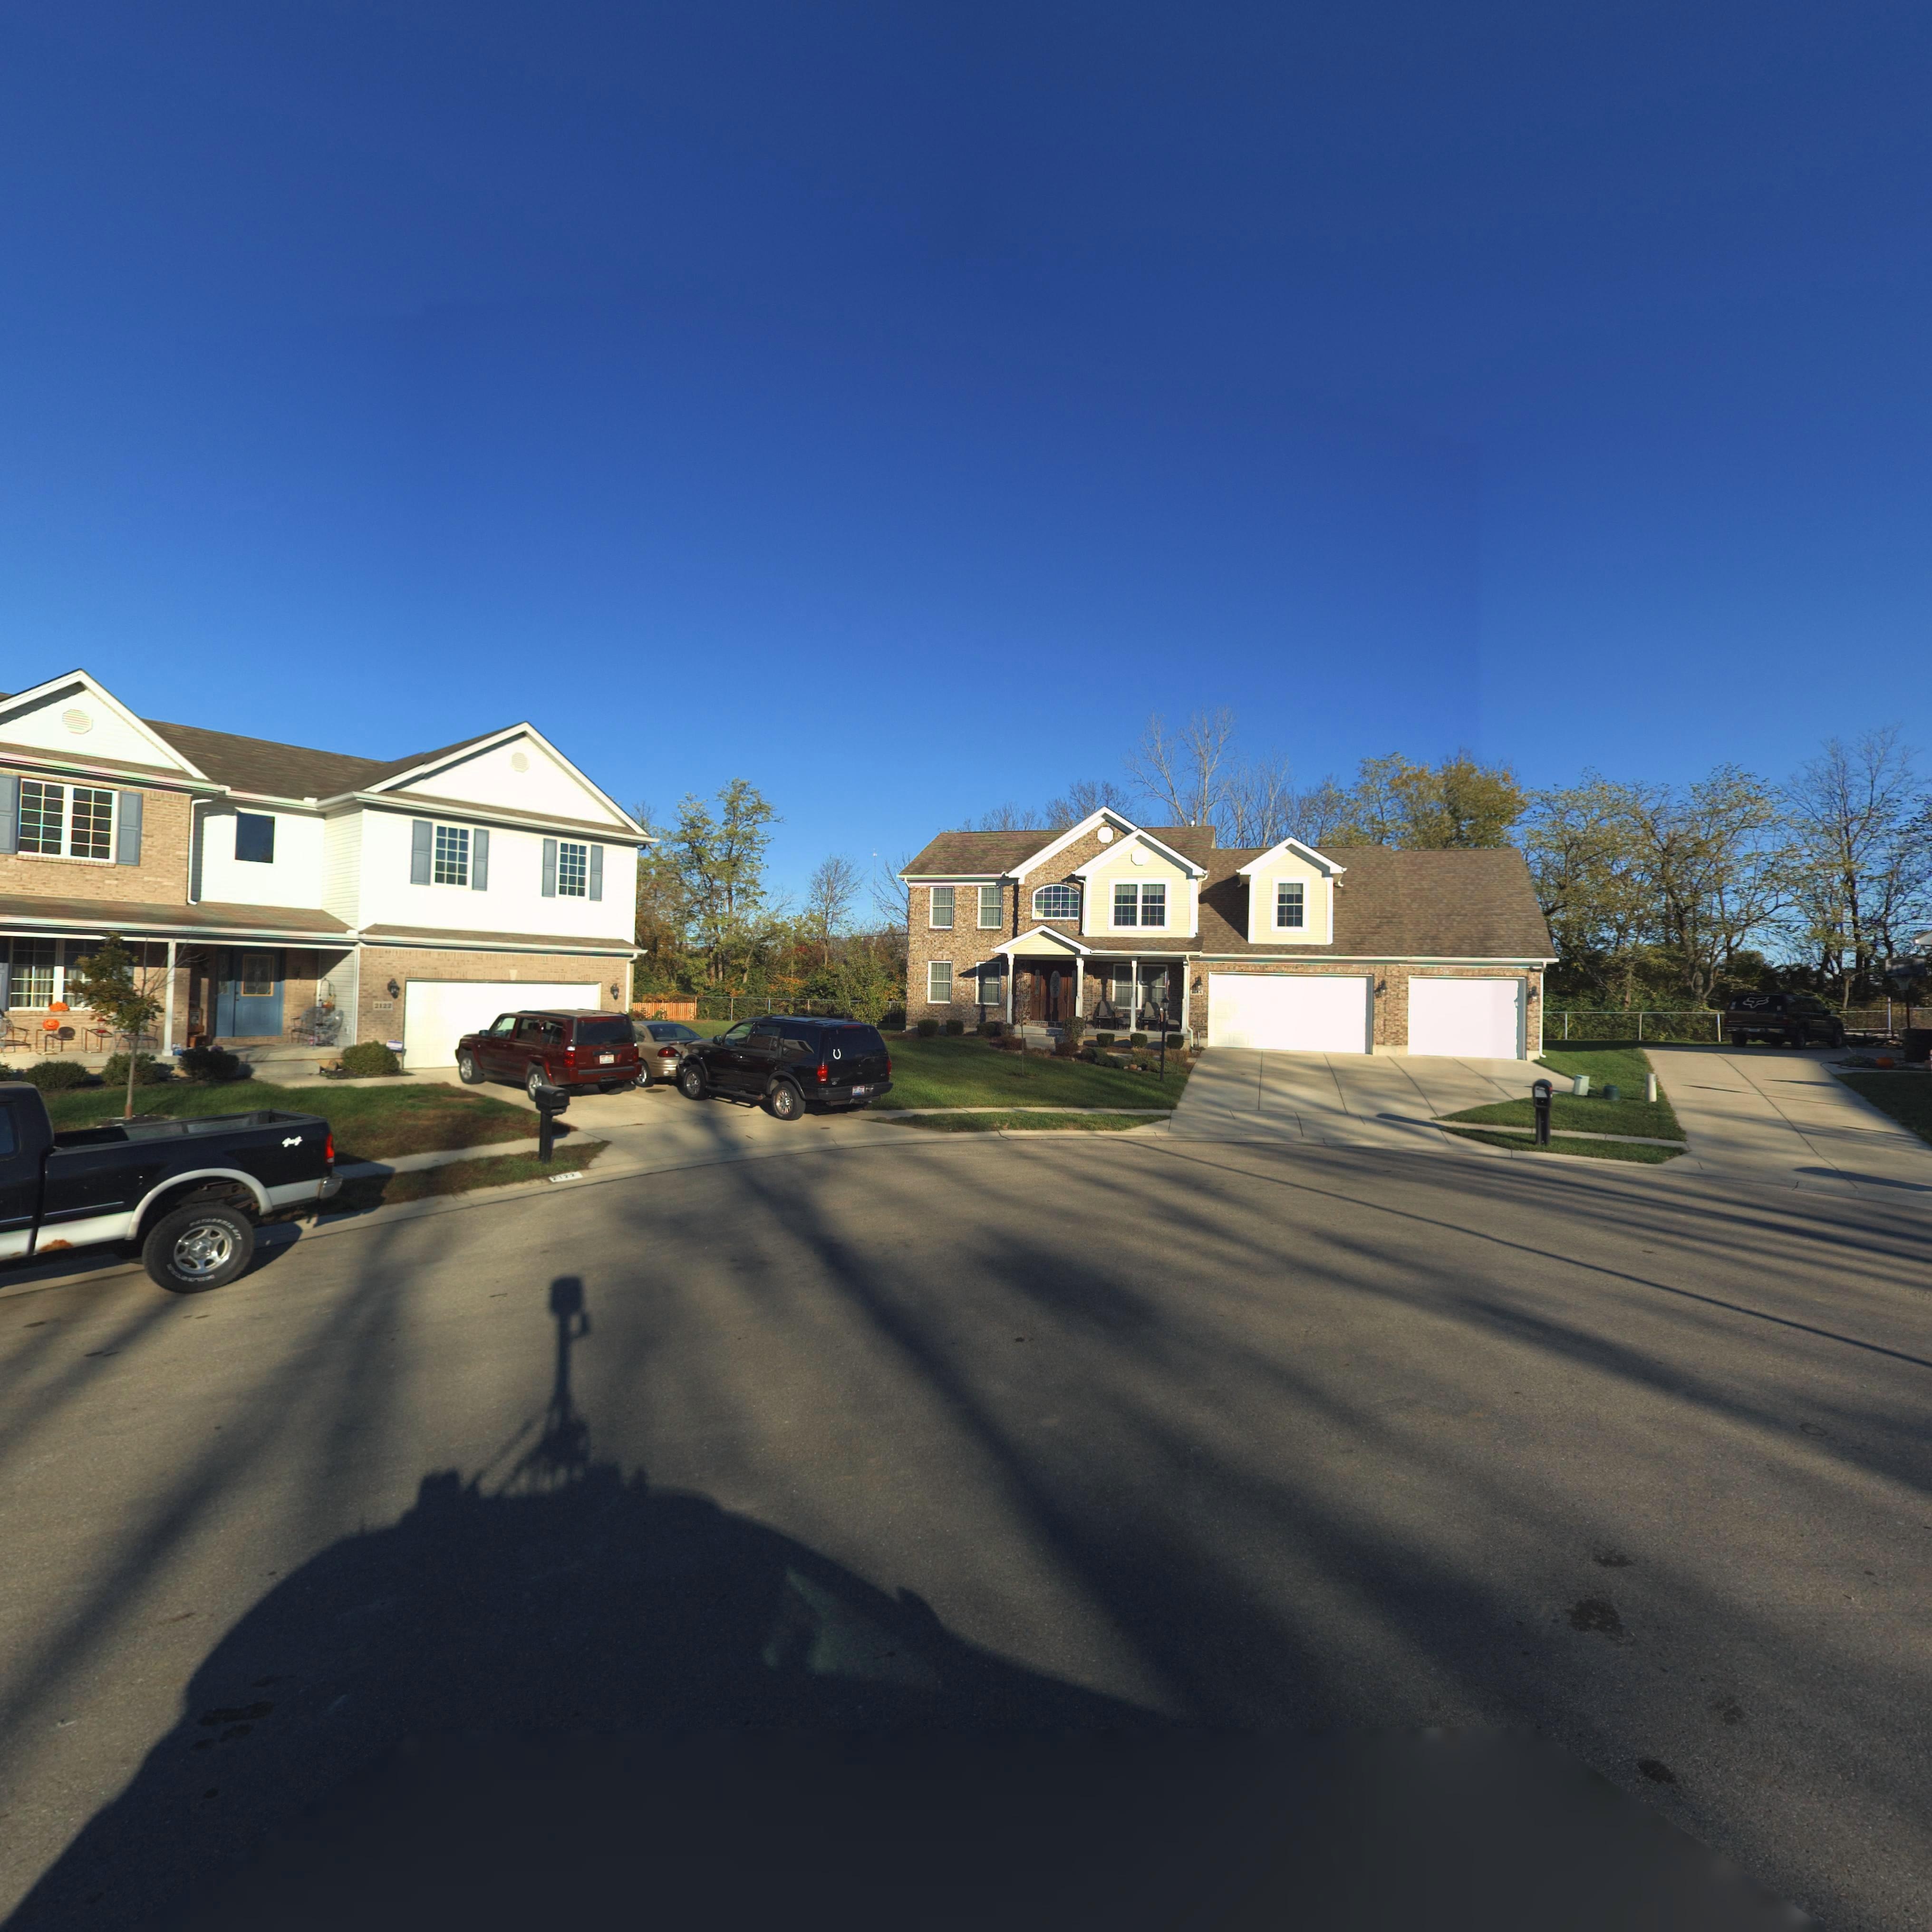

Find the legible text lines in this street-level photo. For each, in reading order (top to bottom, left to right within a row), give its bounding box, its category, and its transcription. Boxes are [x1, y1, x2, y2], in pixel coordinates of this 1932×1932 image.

[374, 1002, 392, 1010] StreetNumber: 2122
[550, 1171, 577, 1182] StreetNumber: 2122